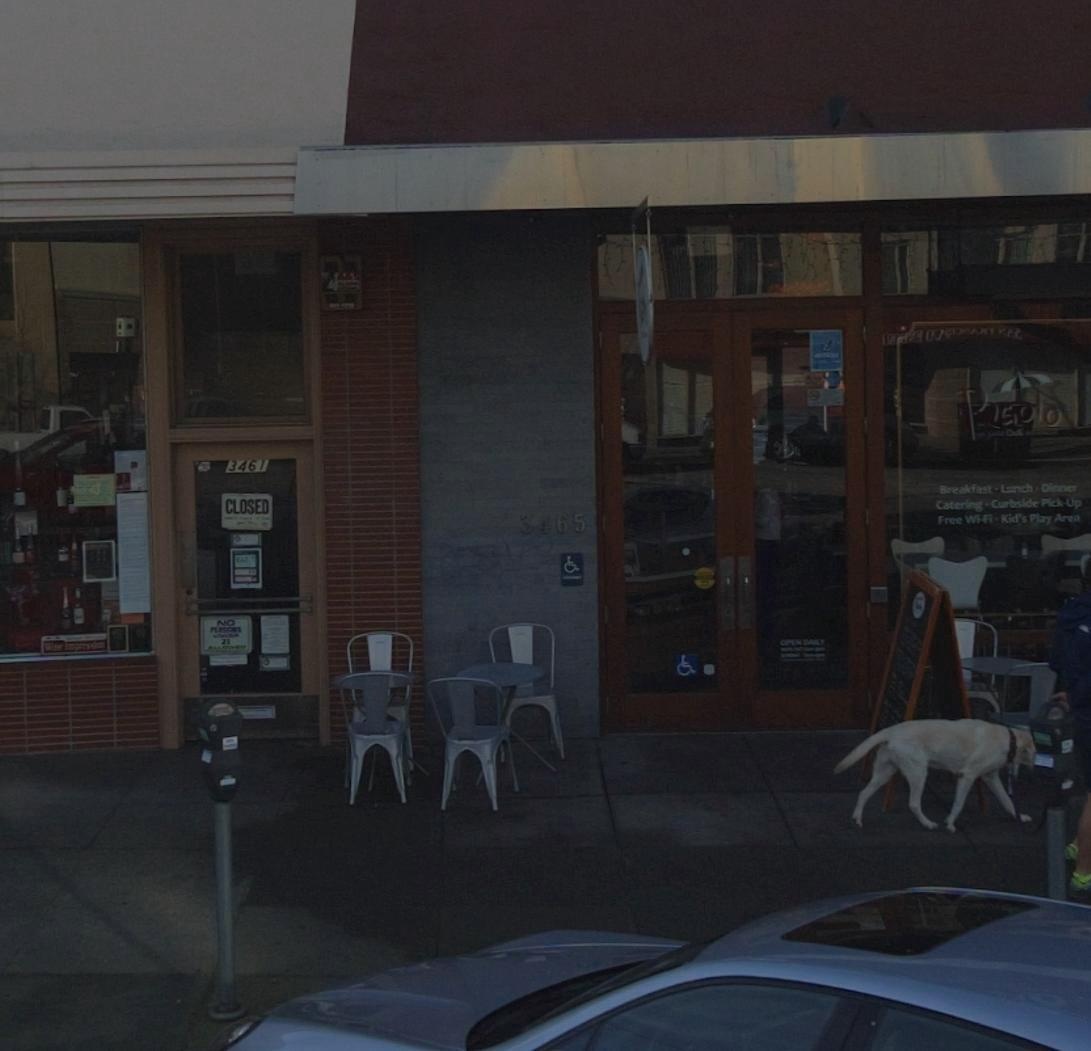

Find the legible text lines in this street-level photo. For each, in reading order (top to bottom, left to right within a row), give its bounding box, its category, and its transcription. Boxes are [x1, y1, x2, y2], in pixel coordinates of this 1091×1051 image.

[943, 372, 1068, 442] BusinessName: R*Golo
[225, 457, 268, 473] StreetNumber: 3461
[223, 496, 271, 516] None: CLOSED
[517, 511, 588, 537] StreetNumber: 3465
[215, 617, 237, 628] None: NO
[219, 637, 232, 646] None: 21